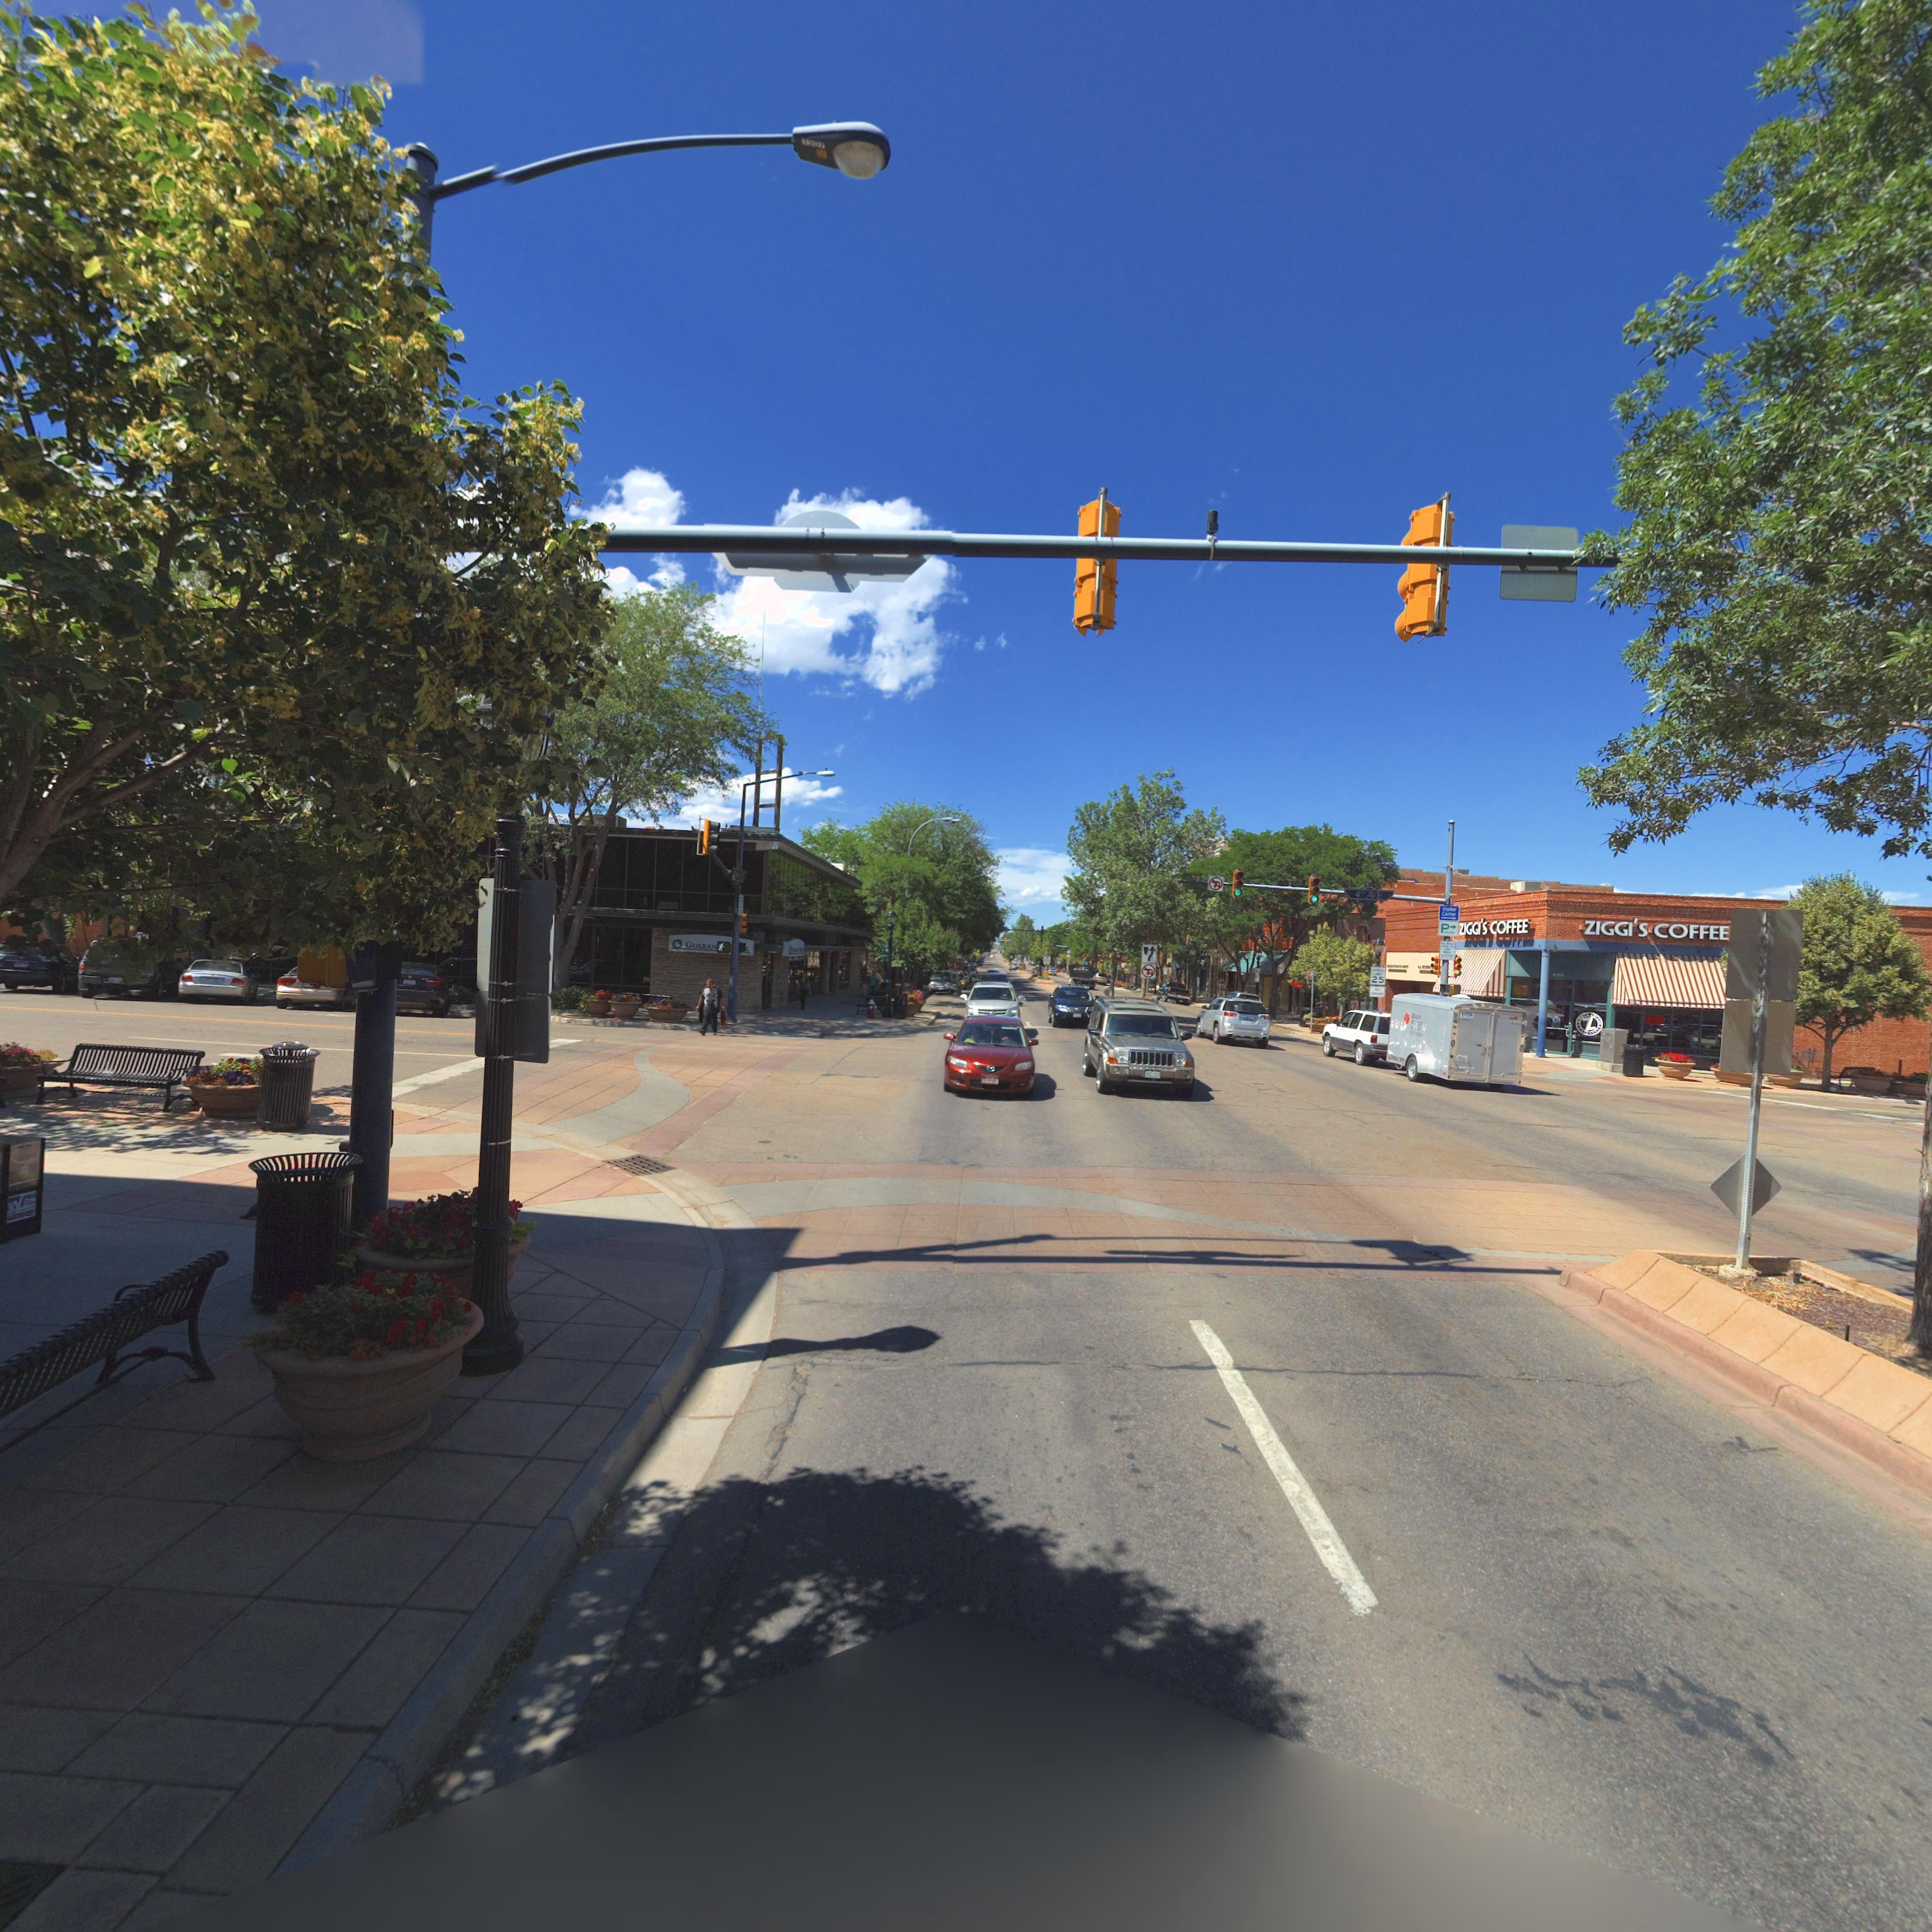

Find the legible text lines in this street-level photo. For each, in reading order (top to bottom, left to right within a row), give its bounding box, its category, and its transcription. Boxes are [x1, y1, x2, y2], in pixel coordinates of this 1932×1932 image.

[1354, 890, 1382, 899] StreetName: 4TH AVE
[1458, 918, 1528, 935] BusinessName: ZIGGI'S COFFEE
[1584, 917, 1729, 941] BusinessName: ZIGGI'S COFFEE
[685, 941, 749, 951] BusinessName: GUARAN K
[1552, 973, 1565, 977] StreetNumber: 400